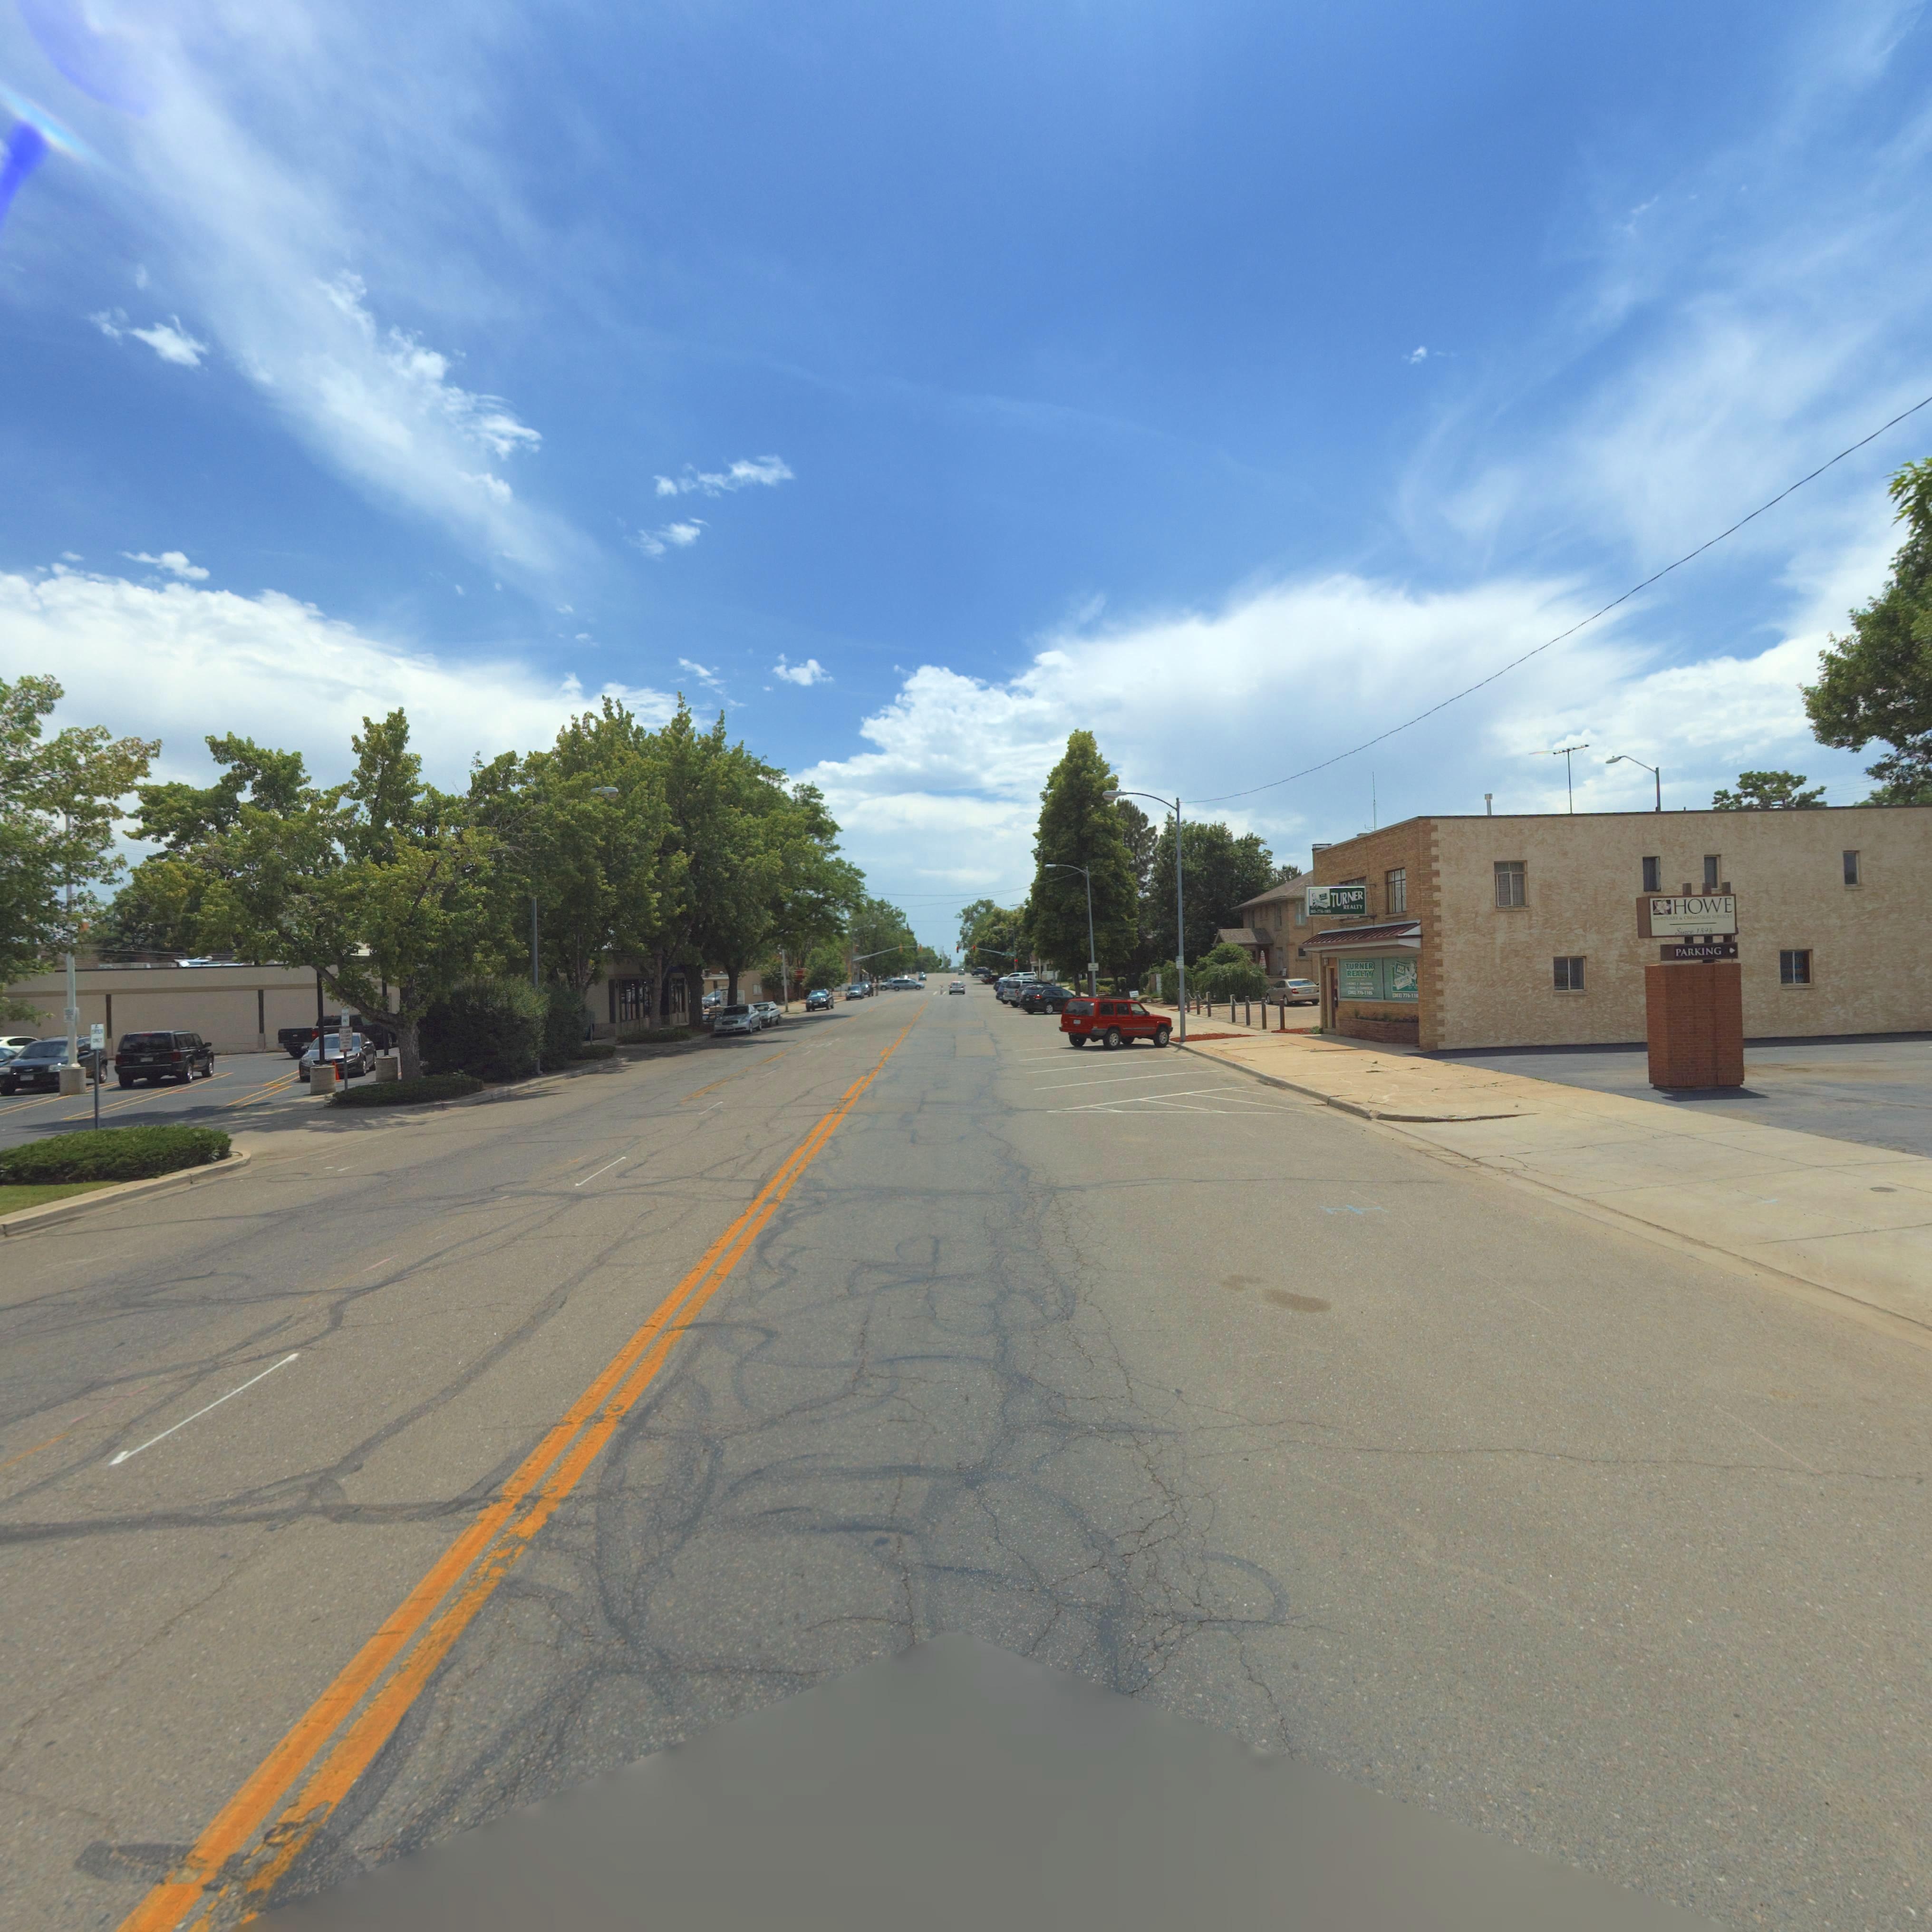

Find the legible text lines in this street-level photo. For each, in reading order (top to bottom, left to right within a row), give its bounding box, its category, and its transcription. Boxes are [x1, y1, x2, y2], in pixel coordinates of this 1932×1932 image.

[1330, 890, 1363, 908] BusinessName: TURNER
[1343, 904, 1363, 909] BusinessName: REALTY
[1672, 897, 1732, 914] BusinessName: HOWE
[1345, 963, 1373, 969] BusinessName: TURNER
[1347, 970, 1372, 976] BusinessName: REALTY